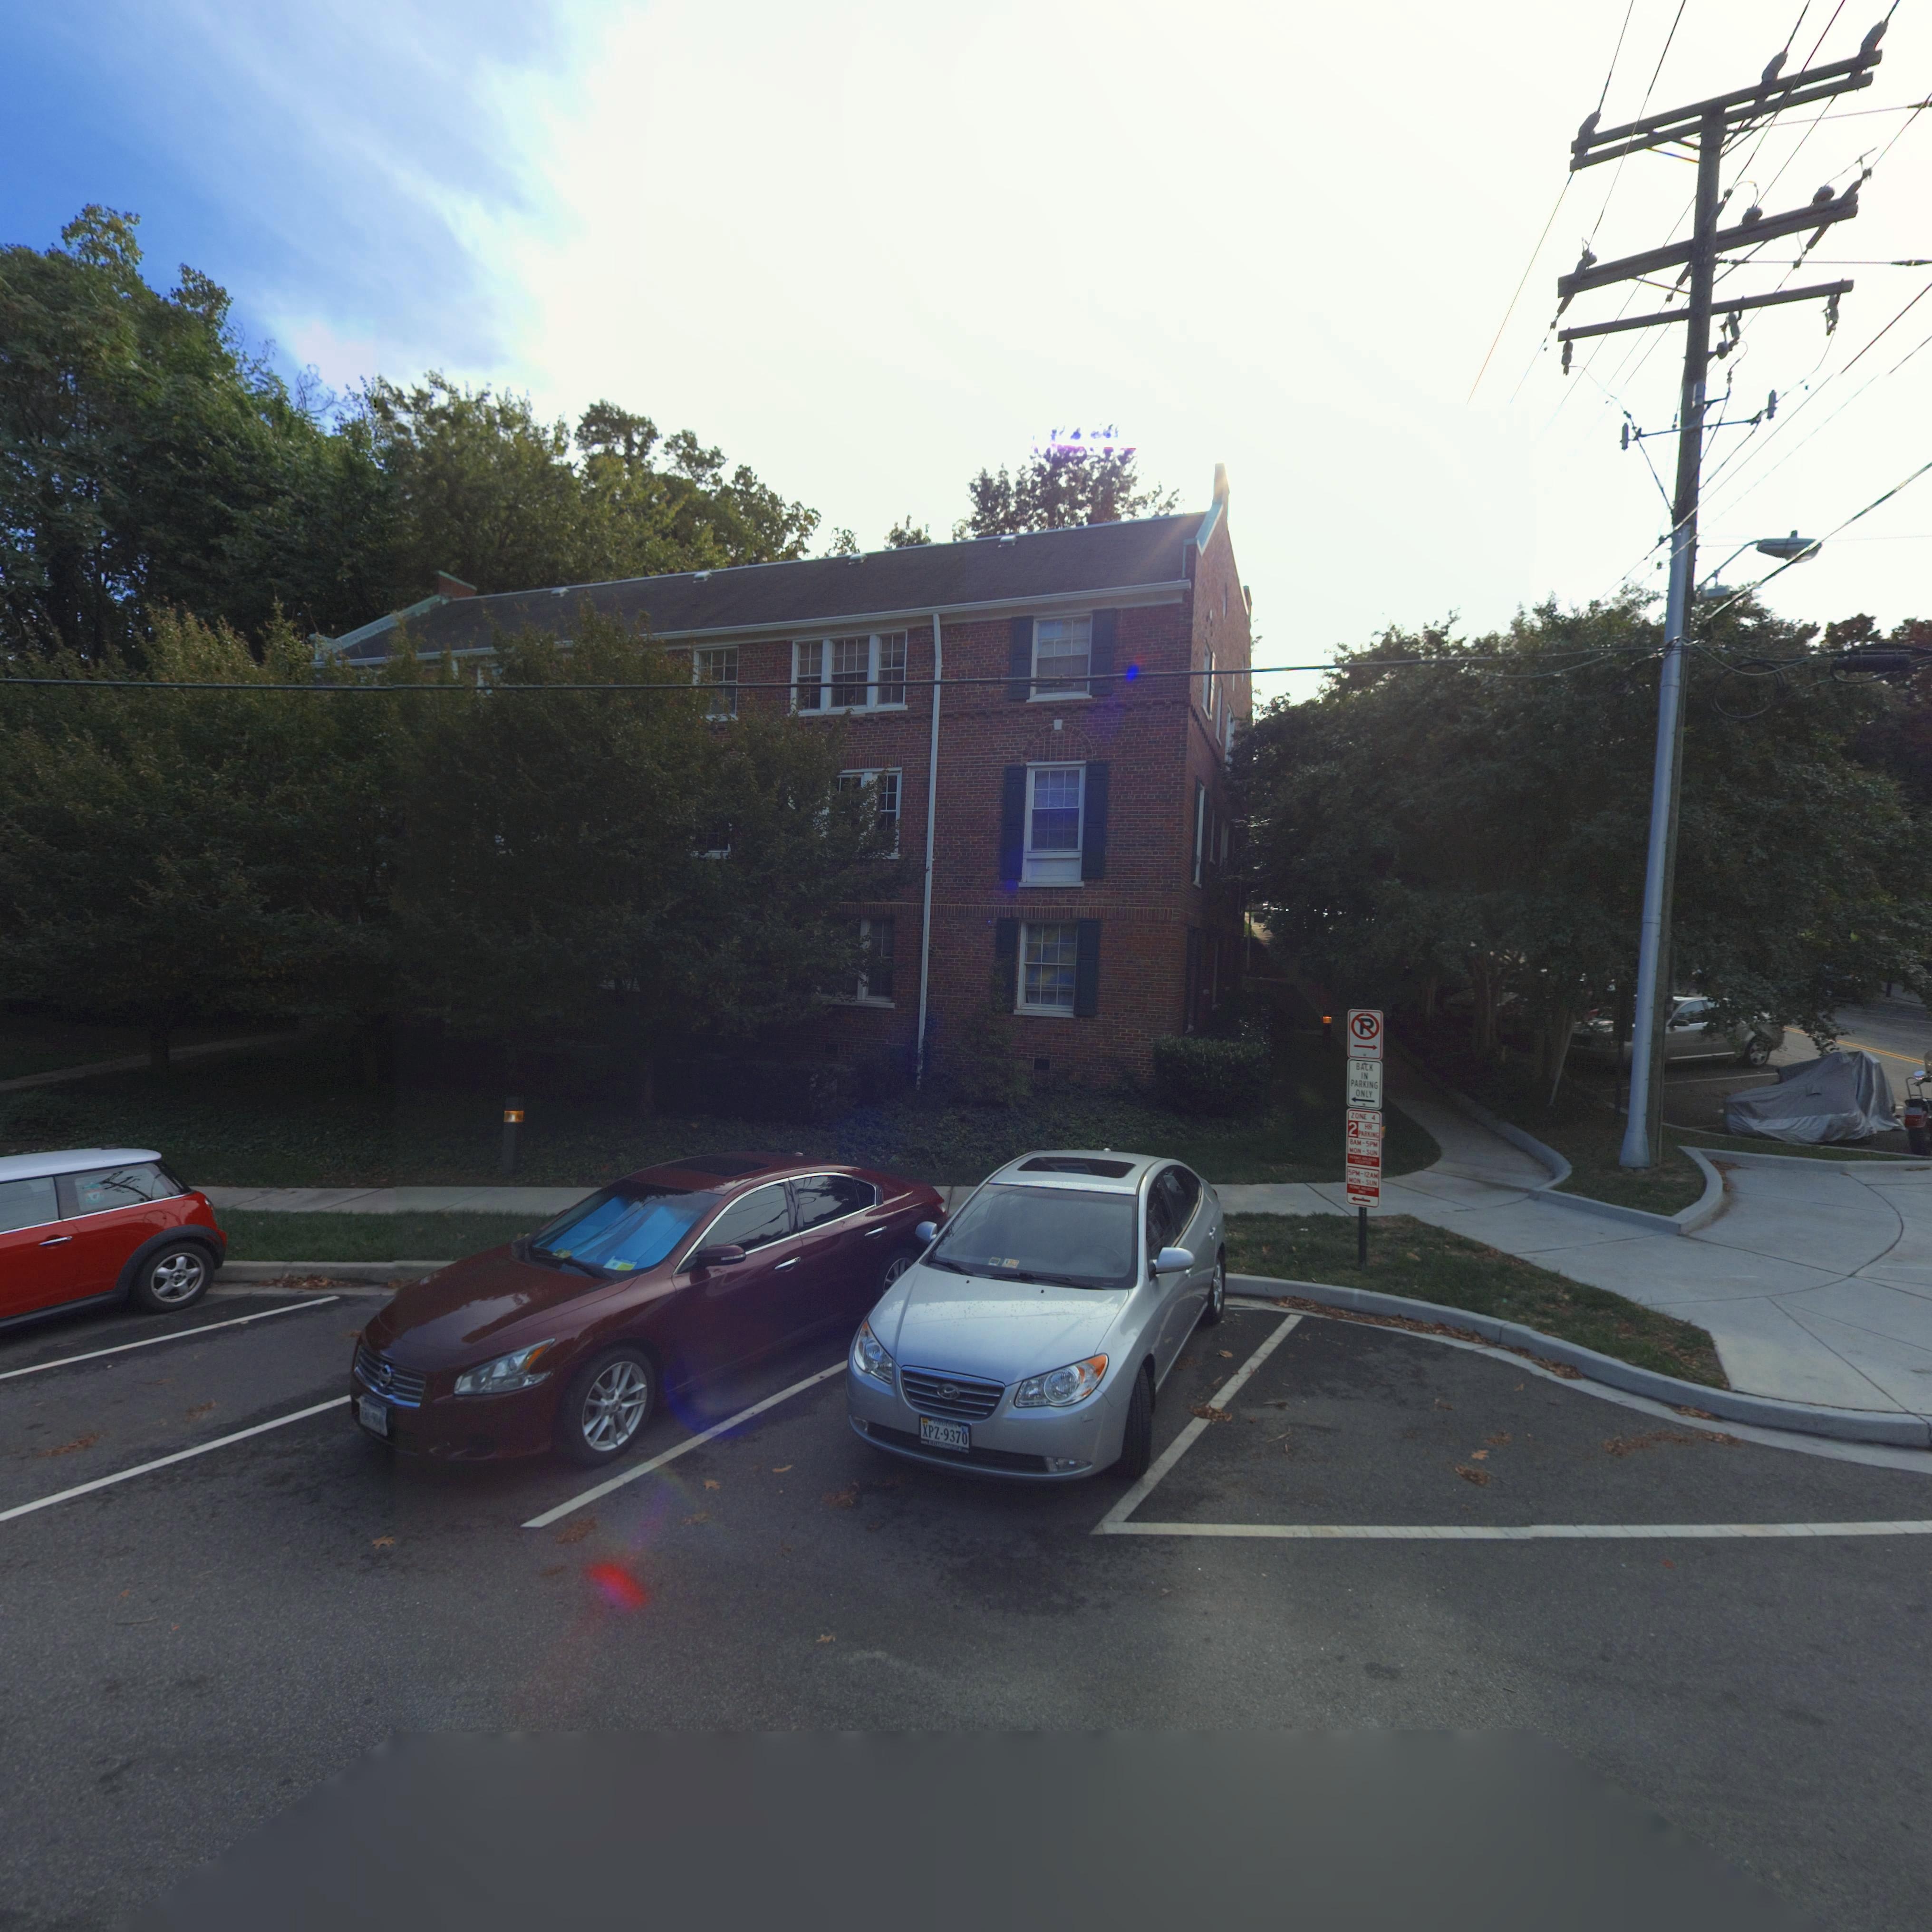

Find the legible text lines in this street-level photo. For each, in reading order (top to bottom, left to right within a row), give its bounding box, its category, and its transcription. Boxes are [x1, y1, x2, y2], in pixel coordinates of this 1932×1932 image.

[1354, 1061, 1375, 1073] None: BACK
[1359, 1070, 1370, 1082] None: IN
[1349, 1077, 1379, 1091] None: PARKING
[1354, 1088, 1375, 1099] None: ONLY
[1350, 1111, 1377, 1123] None: ZONE 4
[1347, 1121, 1359, 1139] None: 2
[1364, 1123, 1374, 1131] None: HR
[1358, 1129, 1380, 1140] None: PAR***G
[1348, 1138, 1379, 1150] None: 8AM-5PM
[1348, 1146, 1379, 1158] None: MON-SUN
[1347, 1168, 1379, 1180] None: 5PM-12AM
[1347, 1176, 1379, 1188] None: MON-SUN
[921, 1421, 969, 1447] None: XPZ-9370